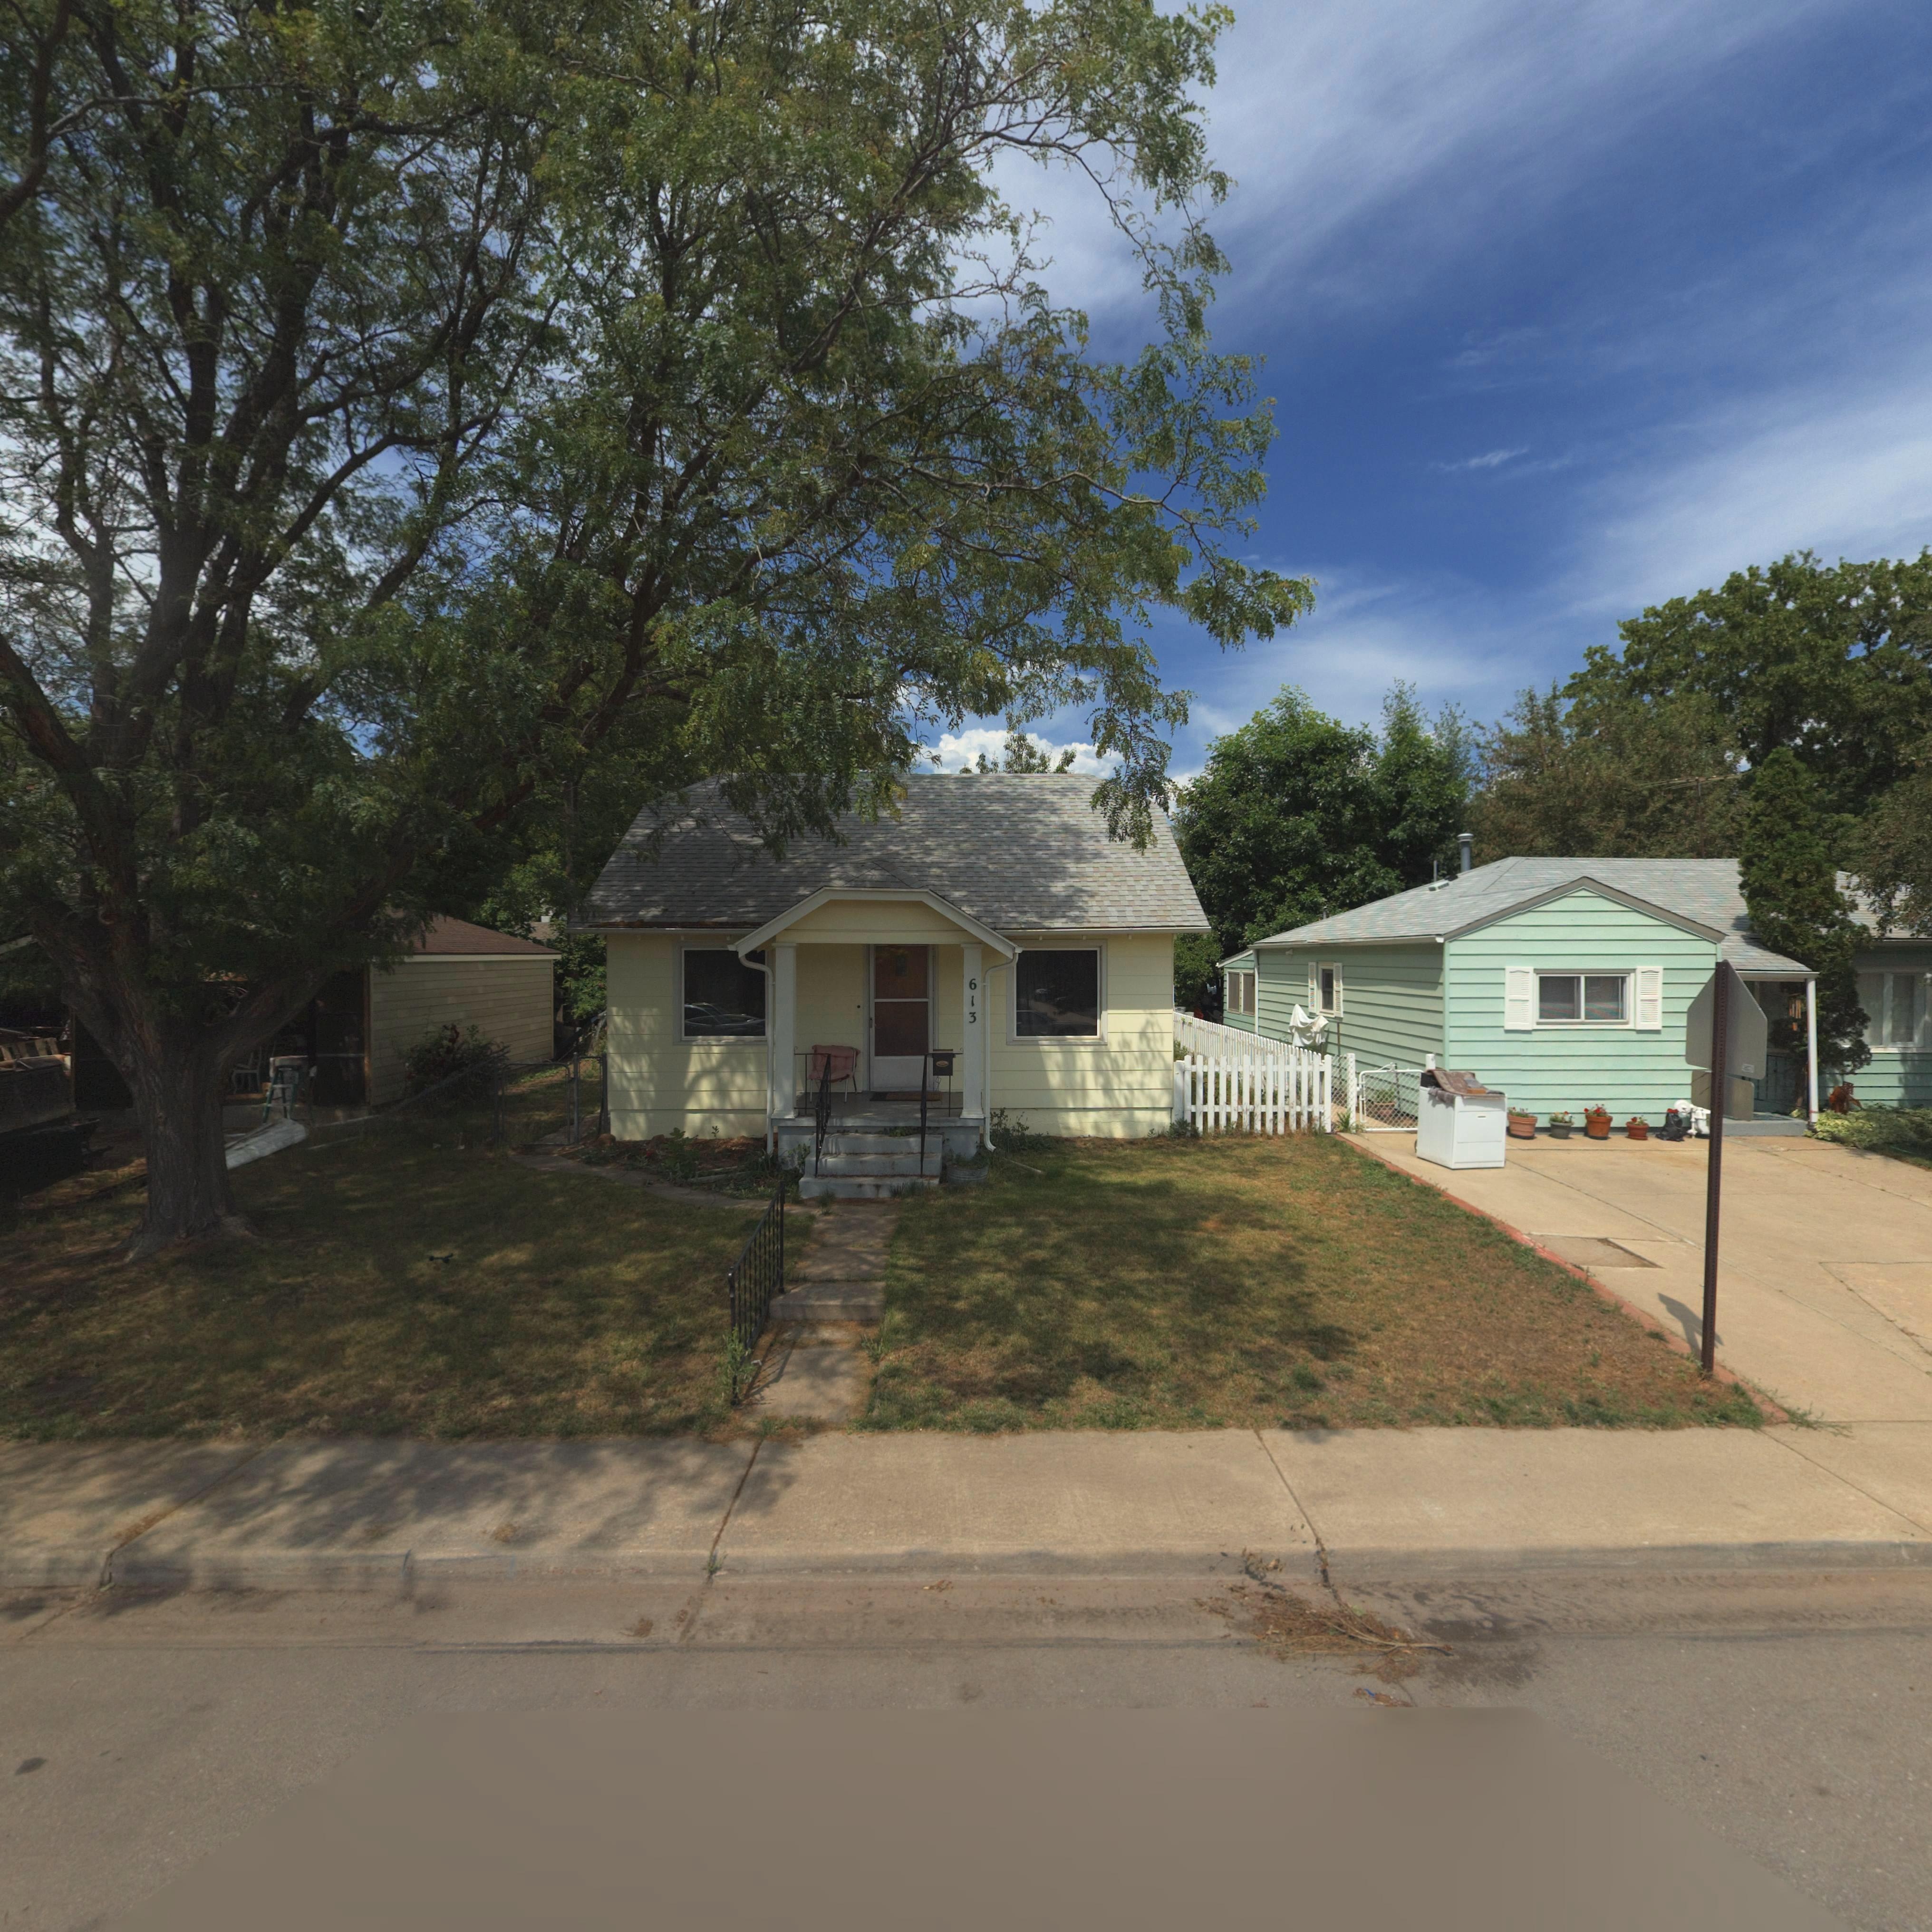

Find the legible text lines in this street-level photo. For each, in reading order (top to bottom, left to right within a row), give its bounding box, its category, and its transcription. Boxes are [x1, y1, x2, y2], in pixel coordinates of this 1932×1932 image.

[968, 978, 977, 1024] StreetNumber: 613